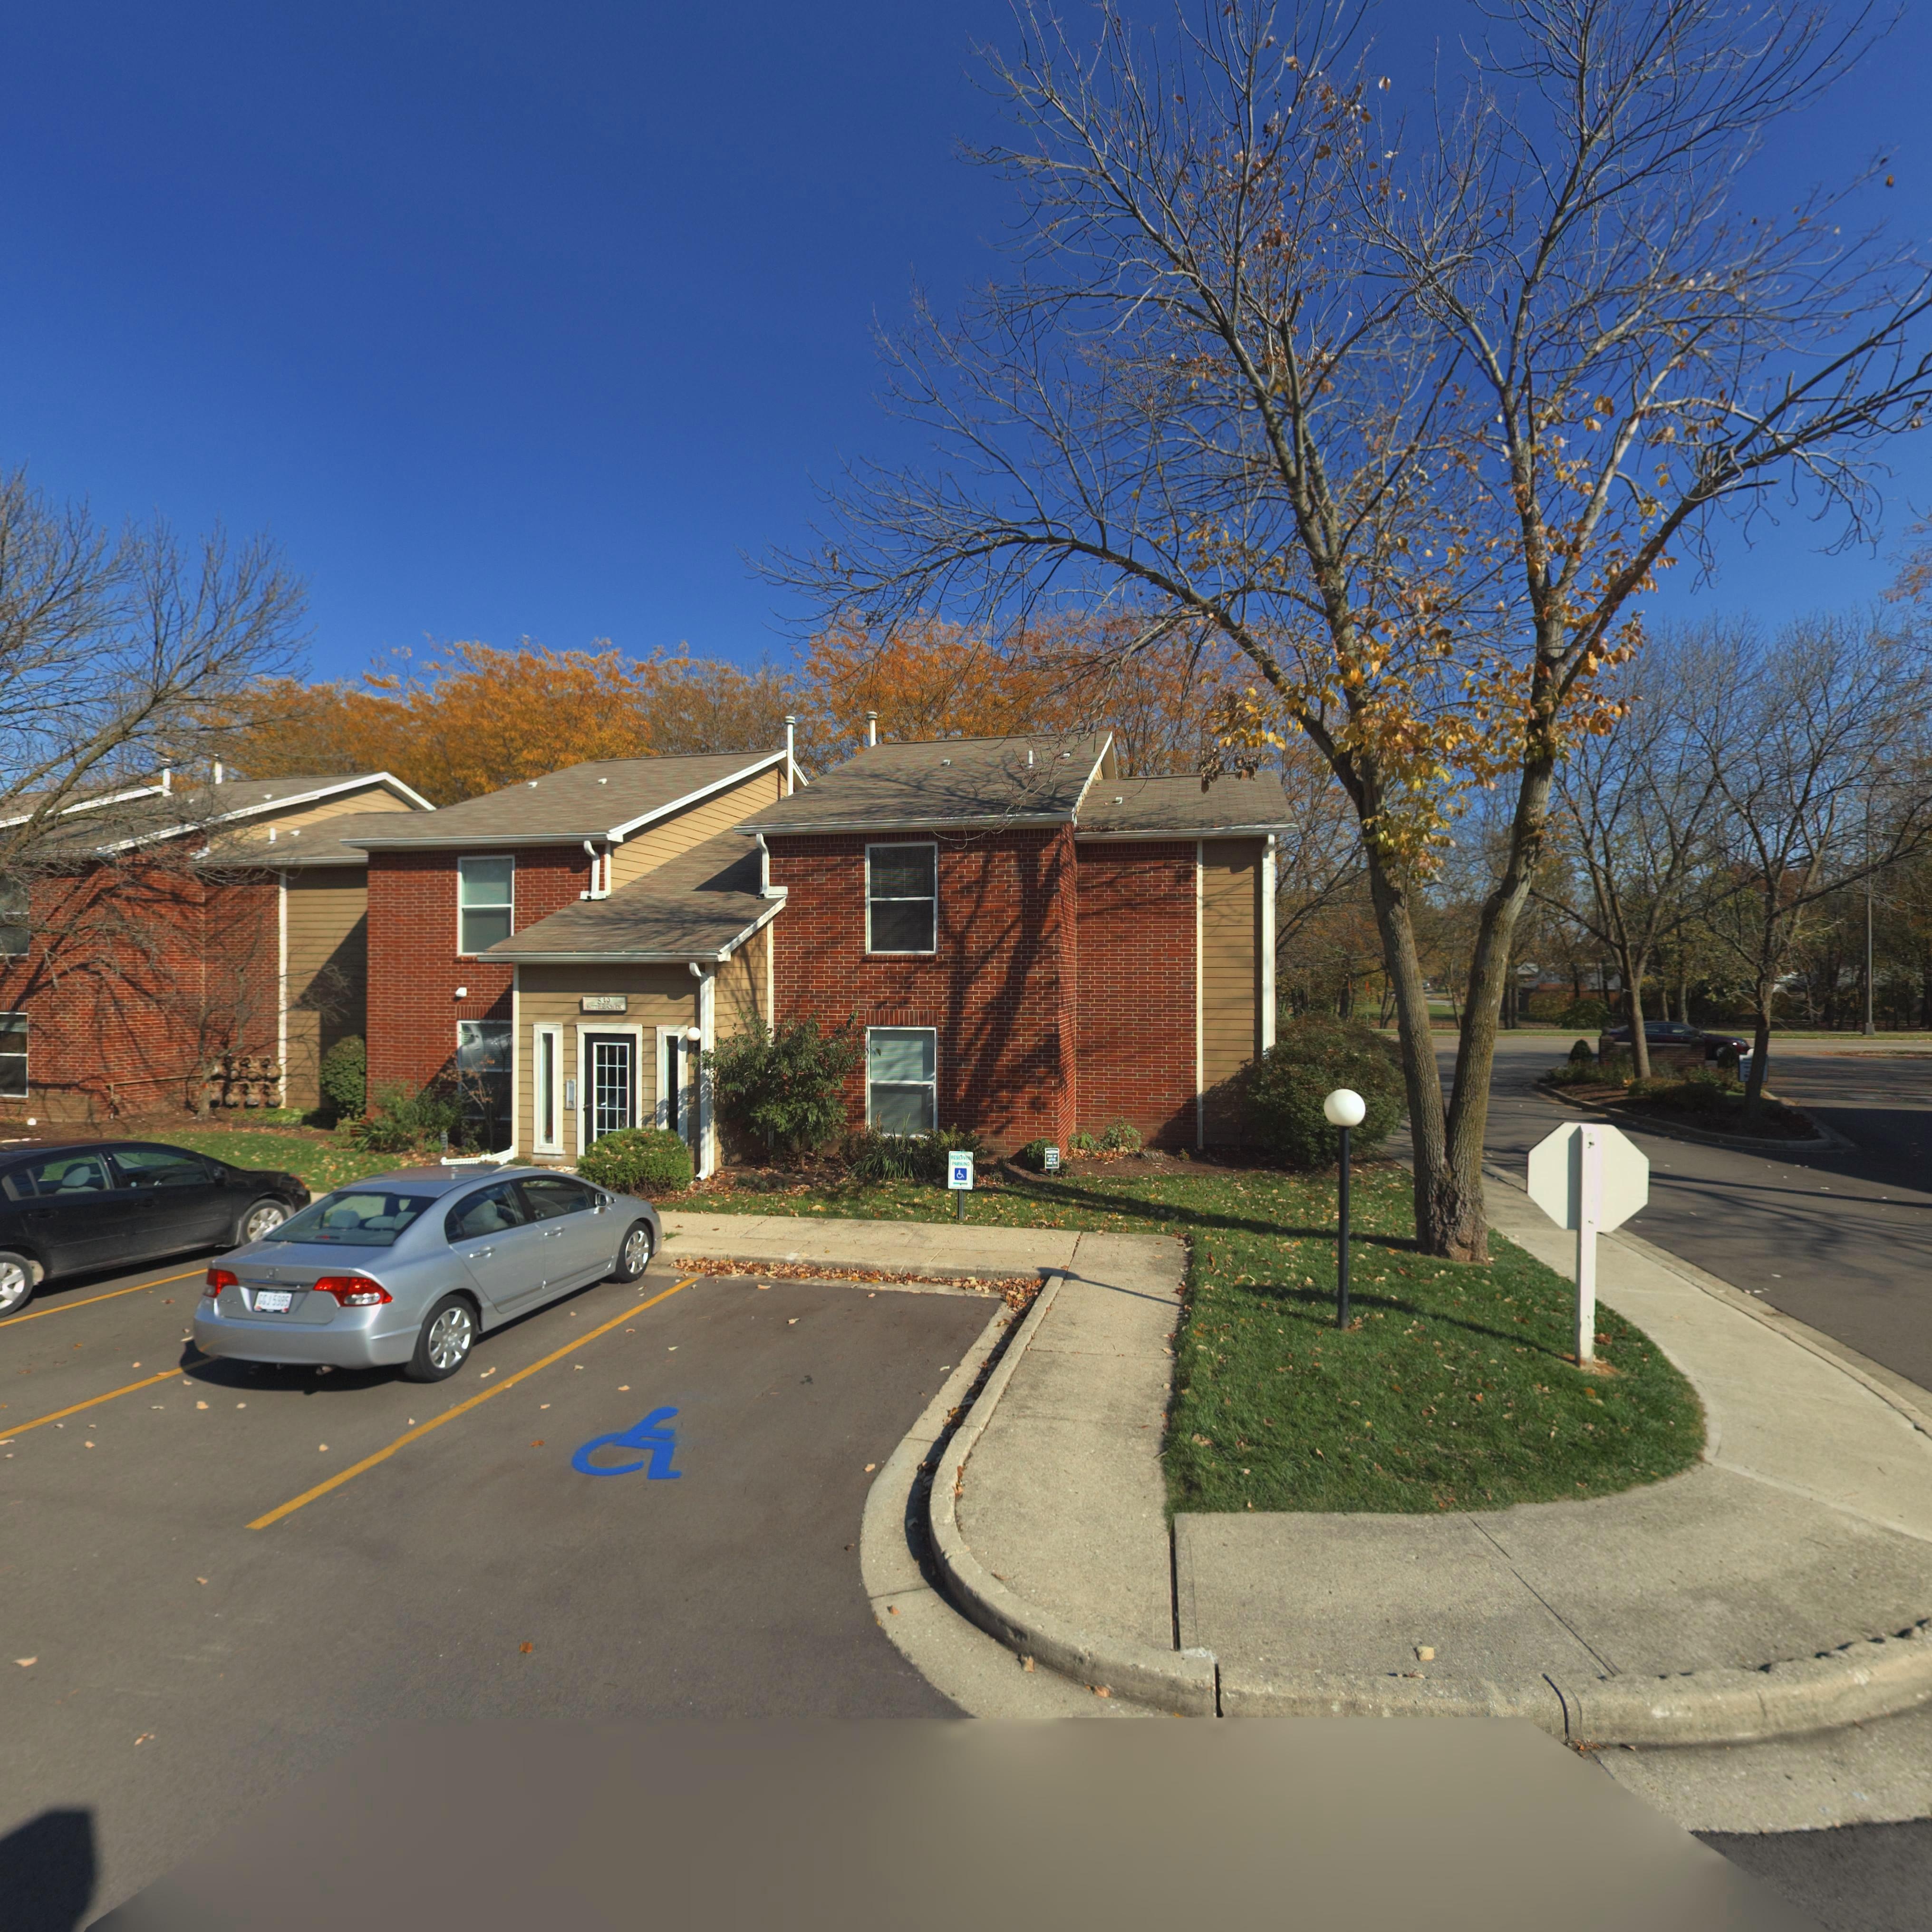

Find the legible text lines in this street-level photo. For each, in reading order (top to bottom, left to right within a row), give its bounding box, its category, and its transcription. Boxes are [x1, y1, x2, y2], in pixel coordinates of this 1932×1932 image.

[257, 1292, 290, 1308] None: *** 5885